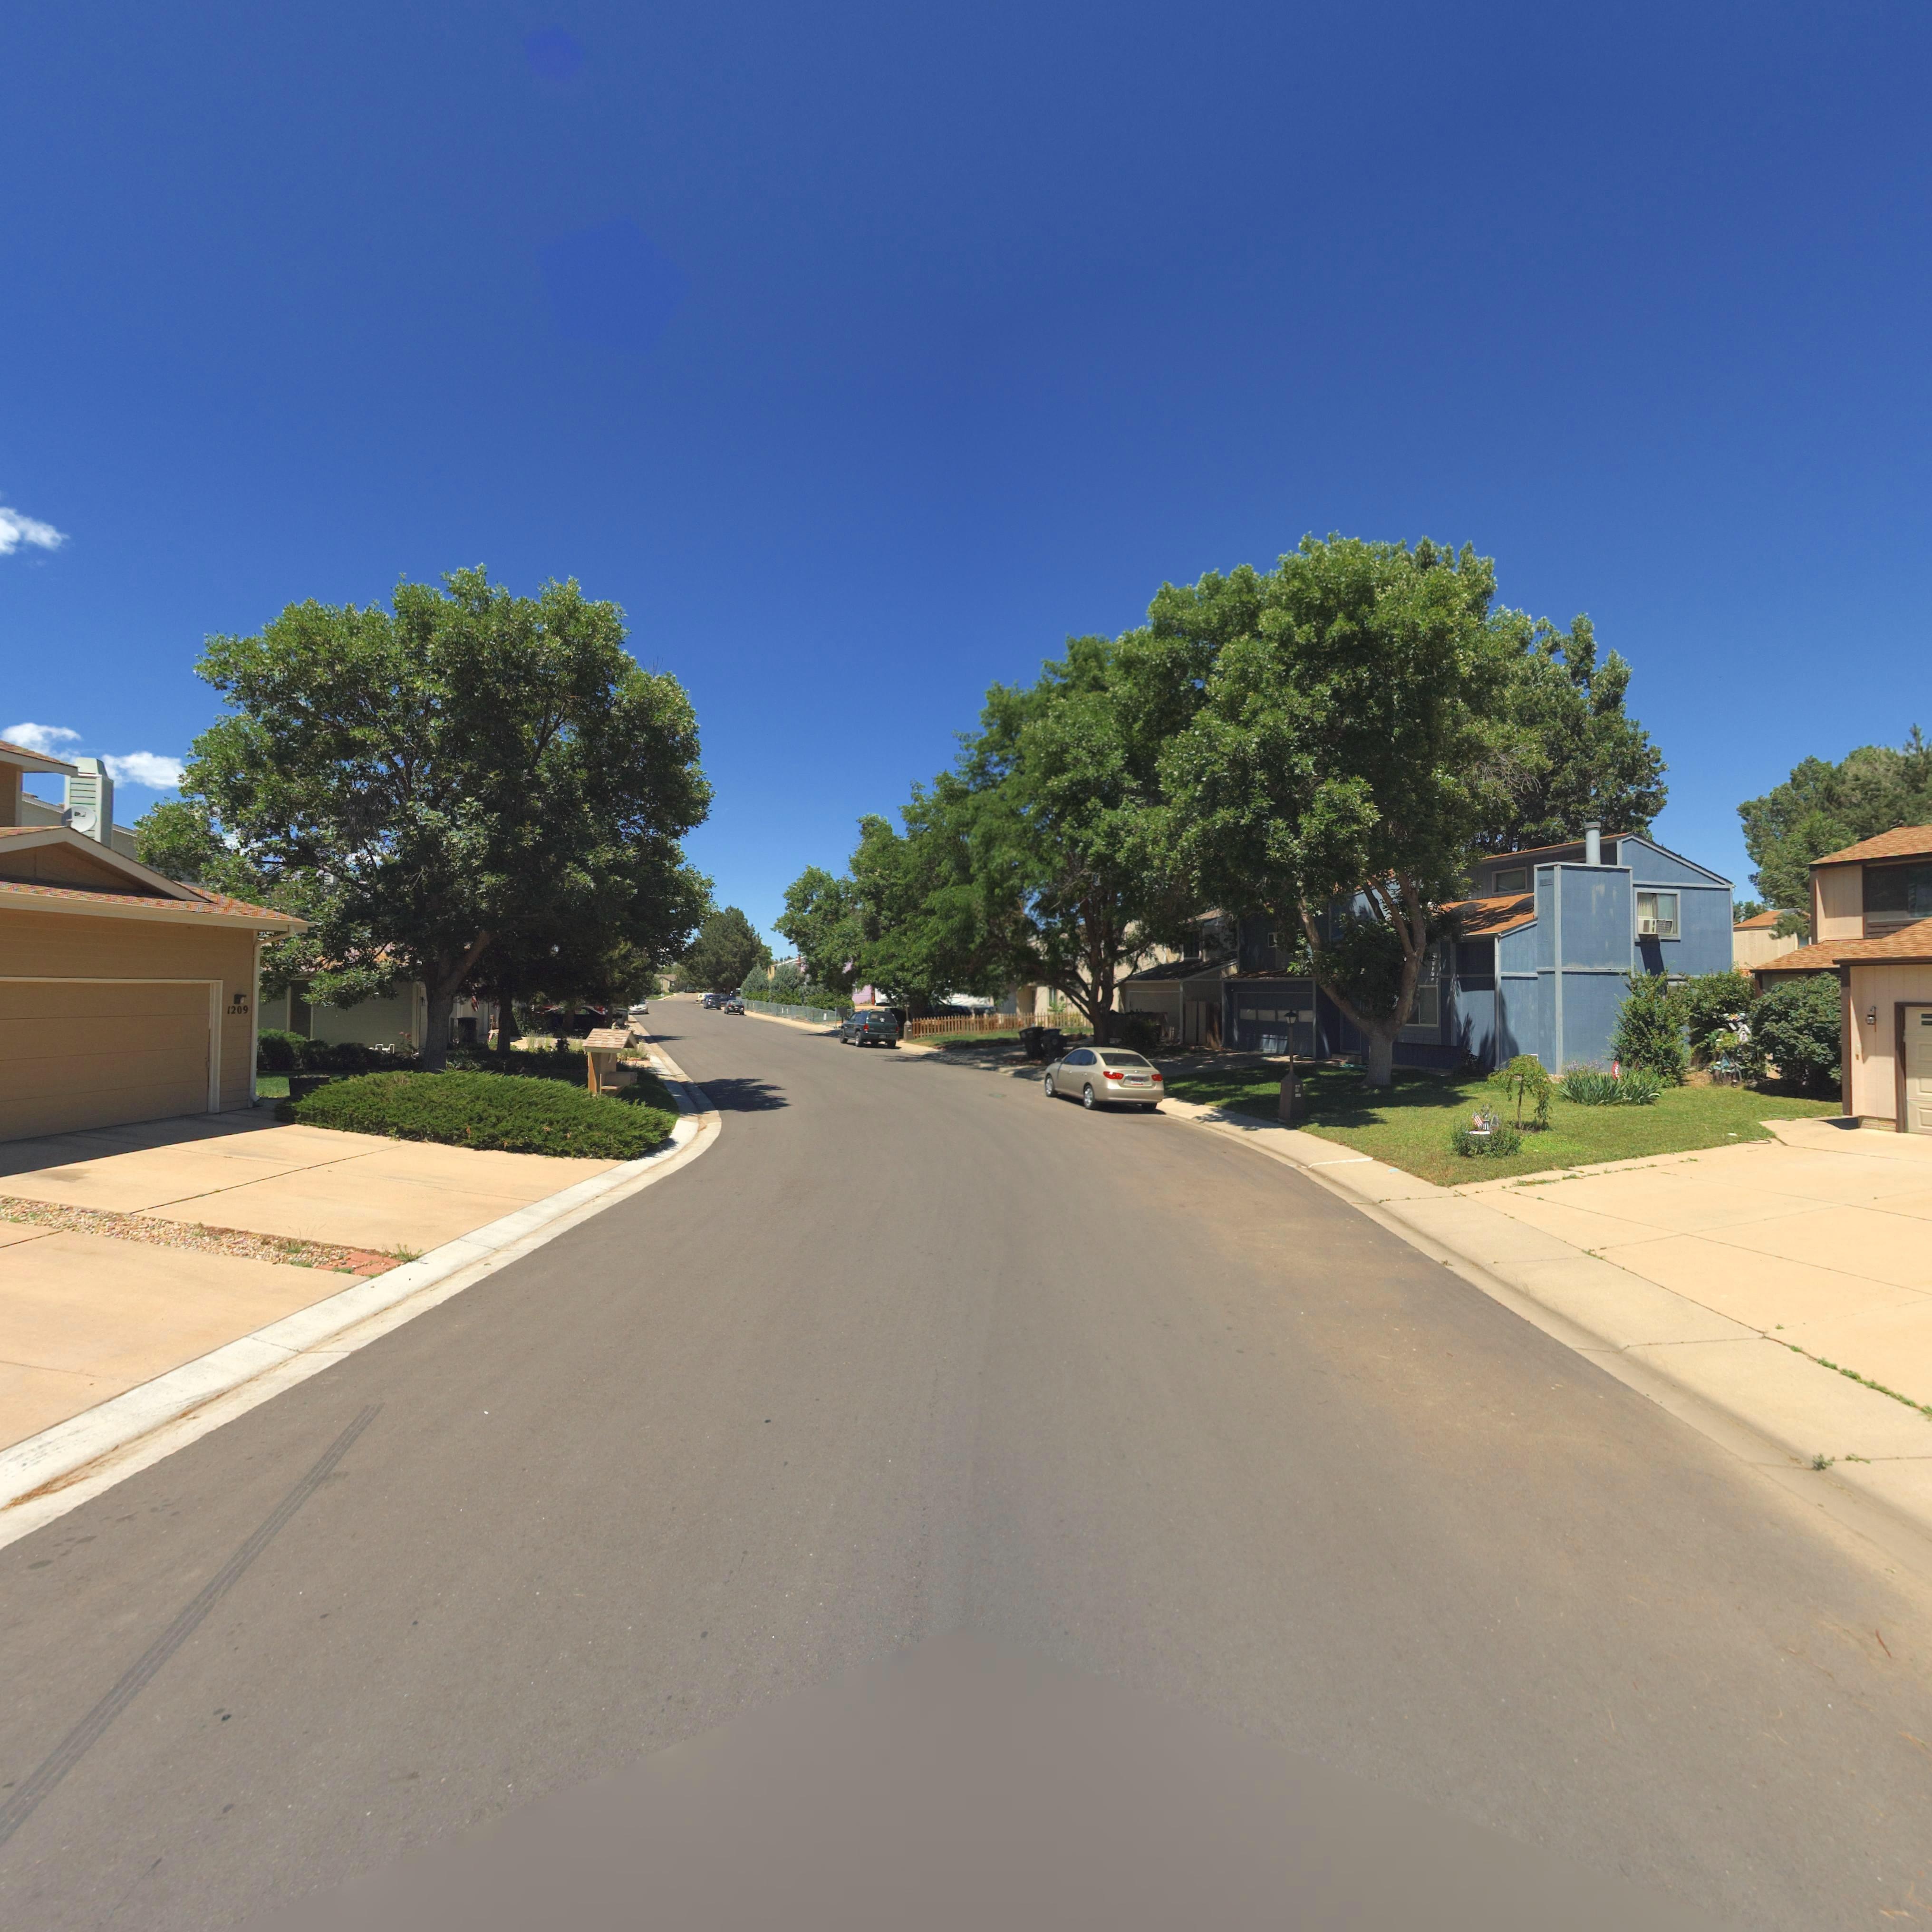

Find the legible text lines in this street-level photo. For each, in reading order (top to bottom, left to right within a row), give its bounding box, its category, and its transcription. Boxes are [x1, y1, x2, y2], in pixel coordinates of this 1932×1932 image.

[226, 1005, 249, 1014] StreetNumber: 1209